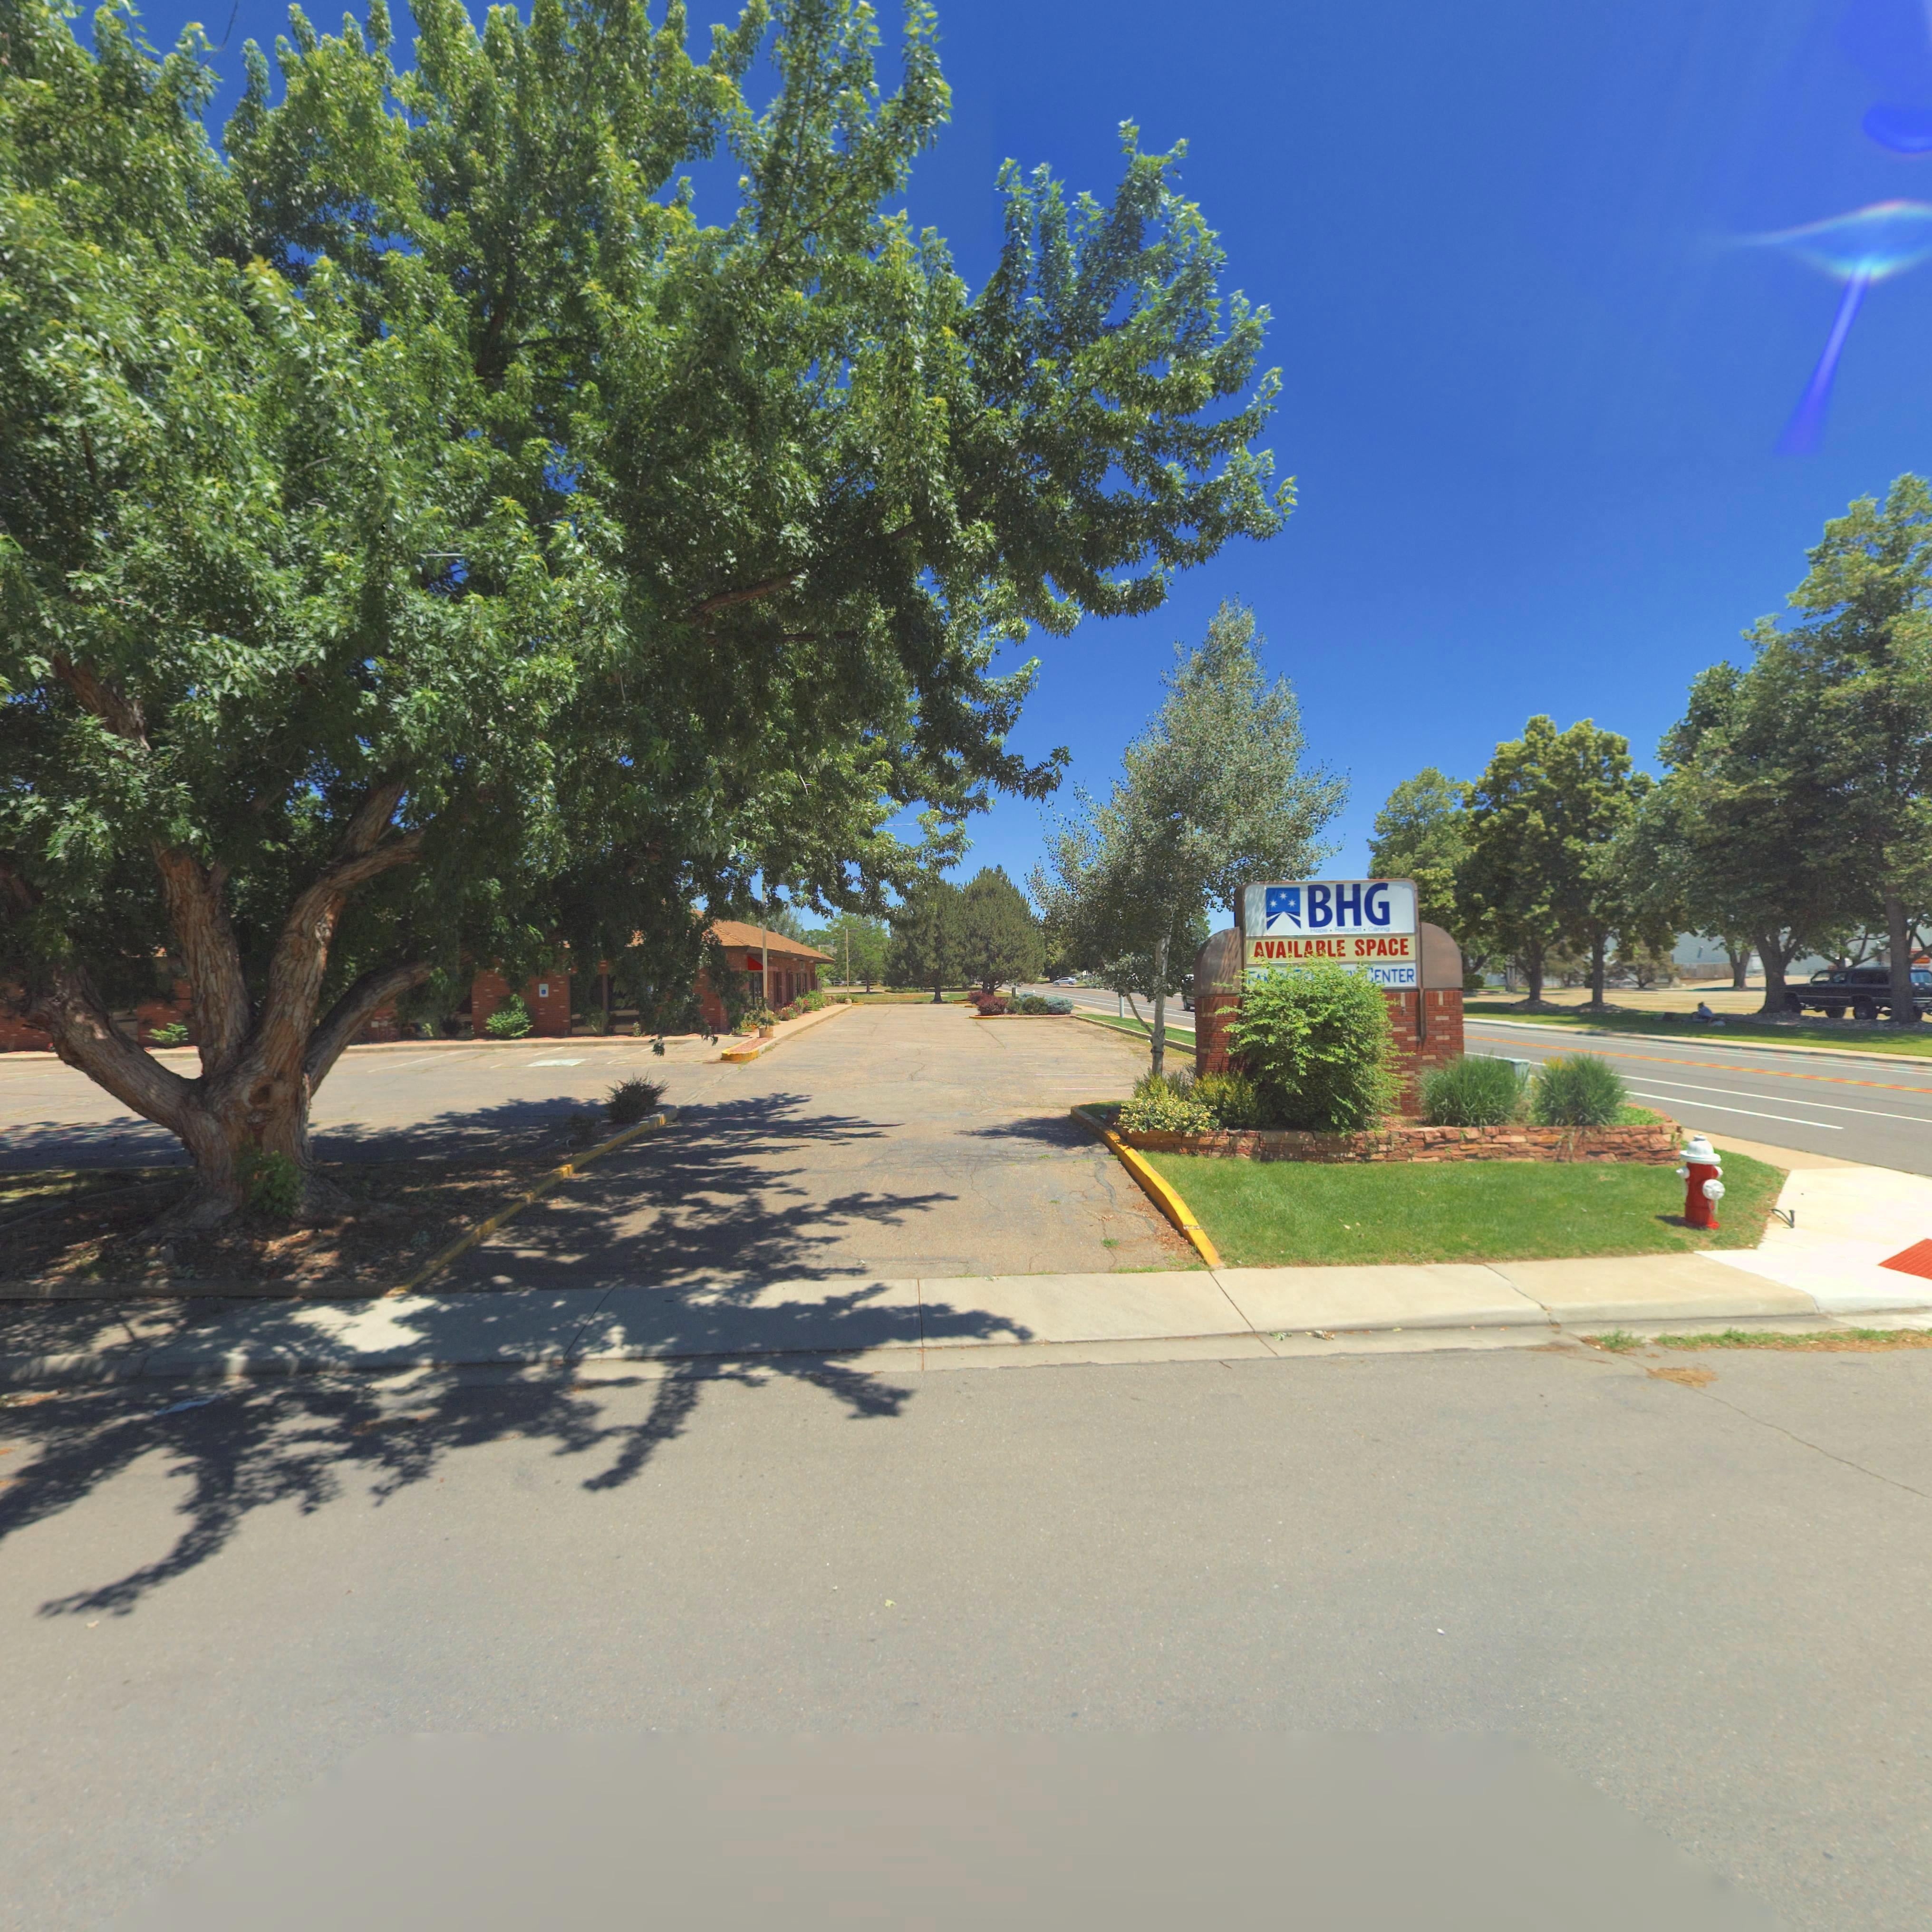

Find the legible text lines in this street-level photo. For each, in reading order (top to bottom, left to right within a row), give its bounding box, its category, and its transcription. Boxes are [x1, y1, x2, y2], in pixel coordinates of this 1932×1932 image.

[1306, 881, 1391, 928] BusinessName: BHG
[1374, 968, 1415, 984] BusinessName: ENTER